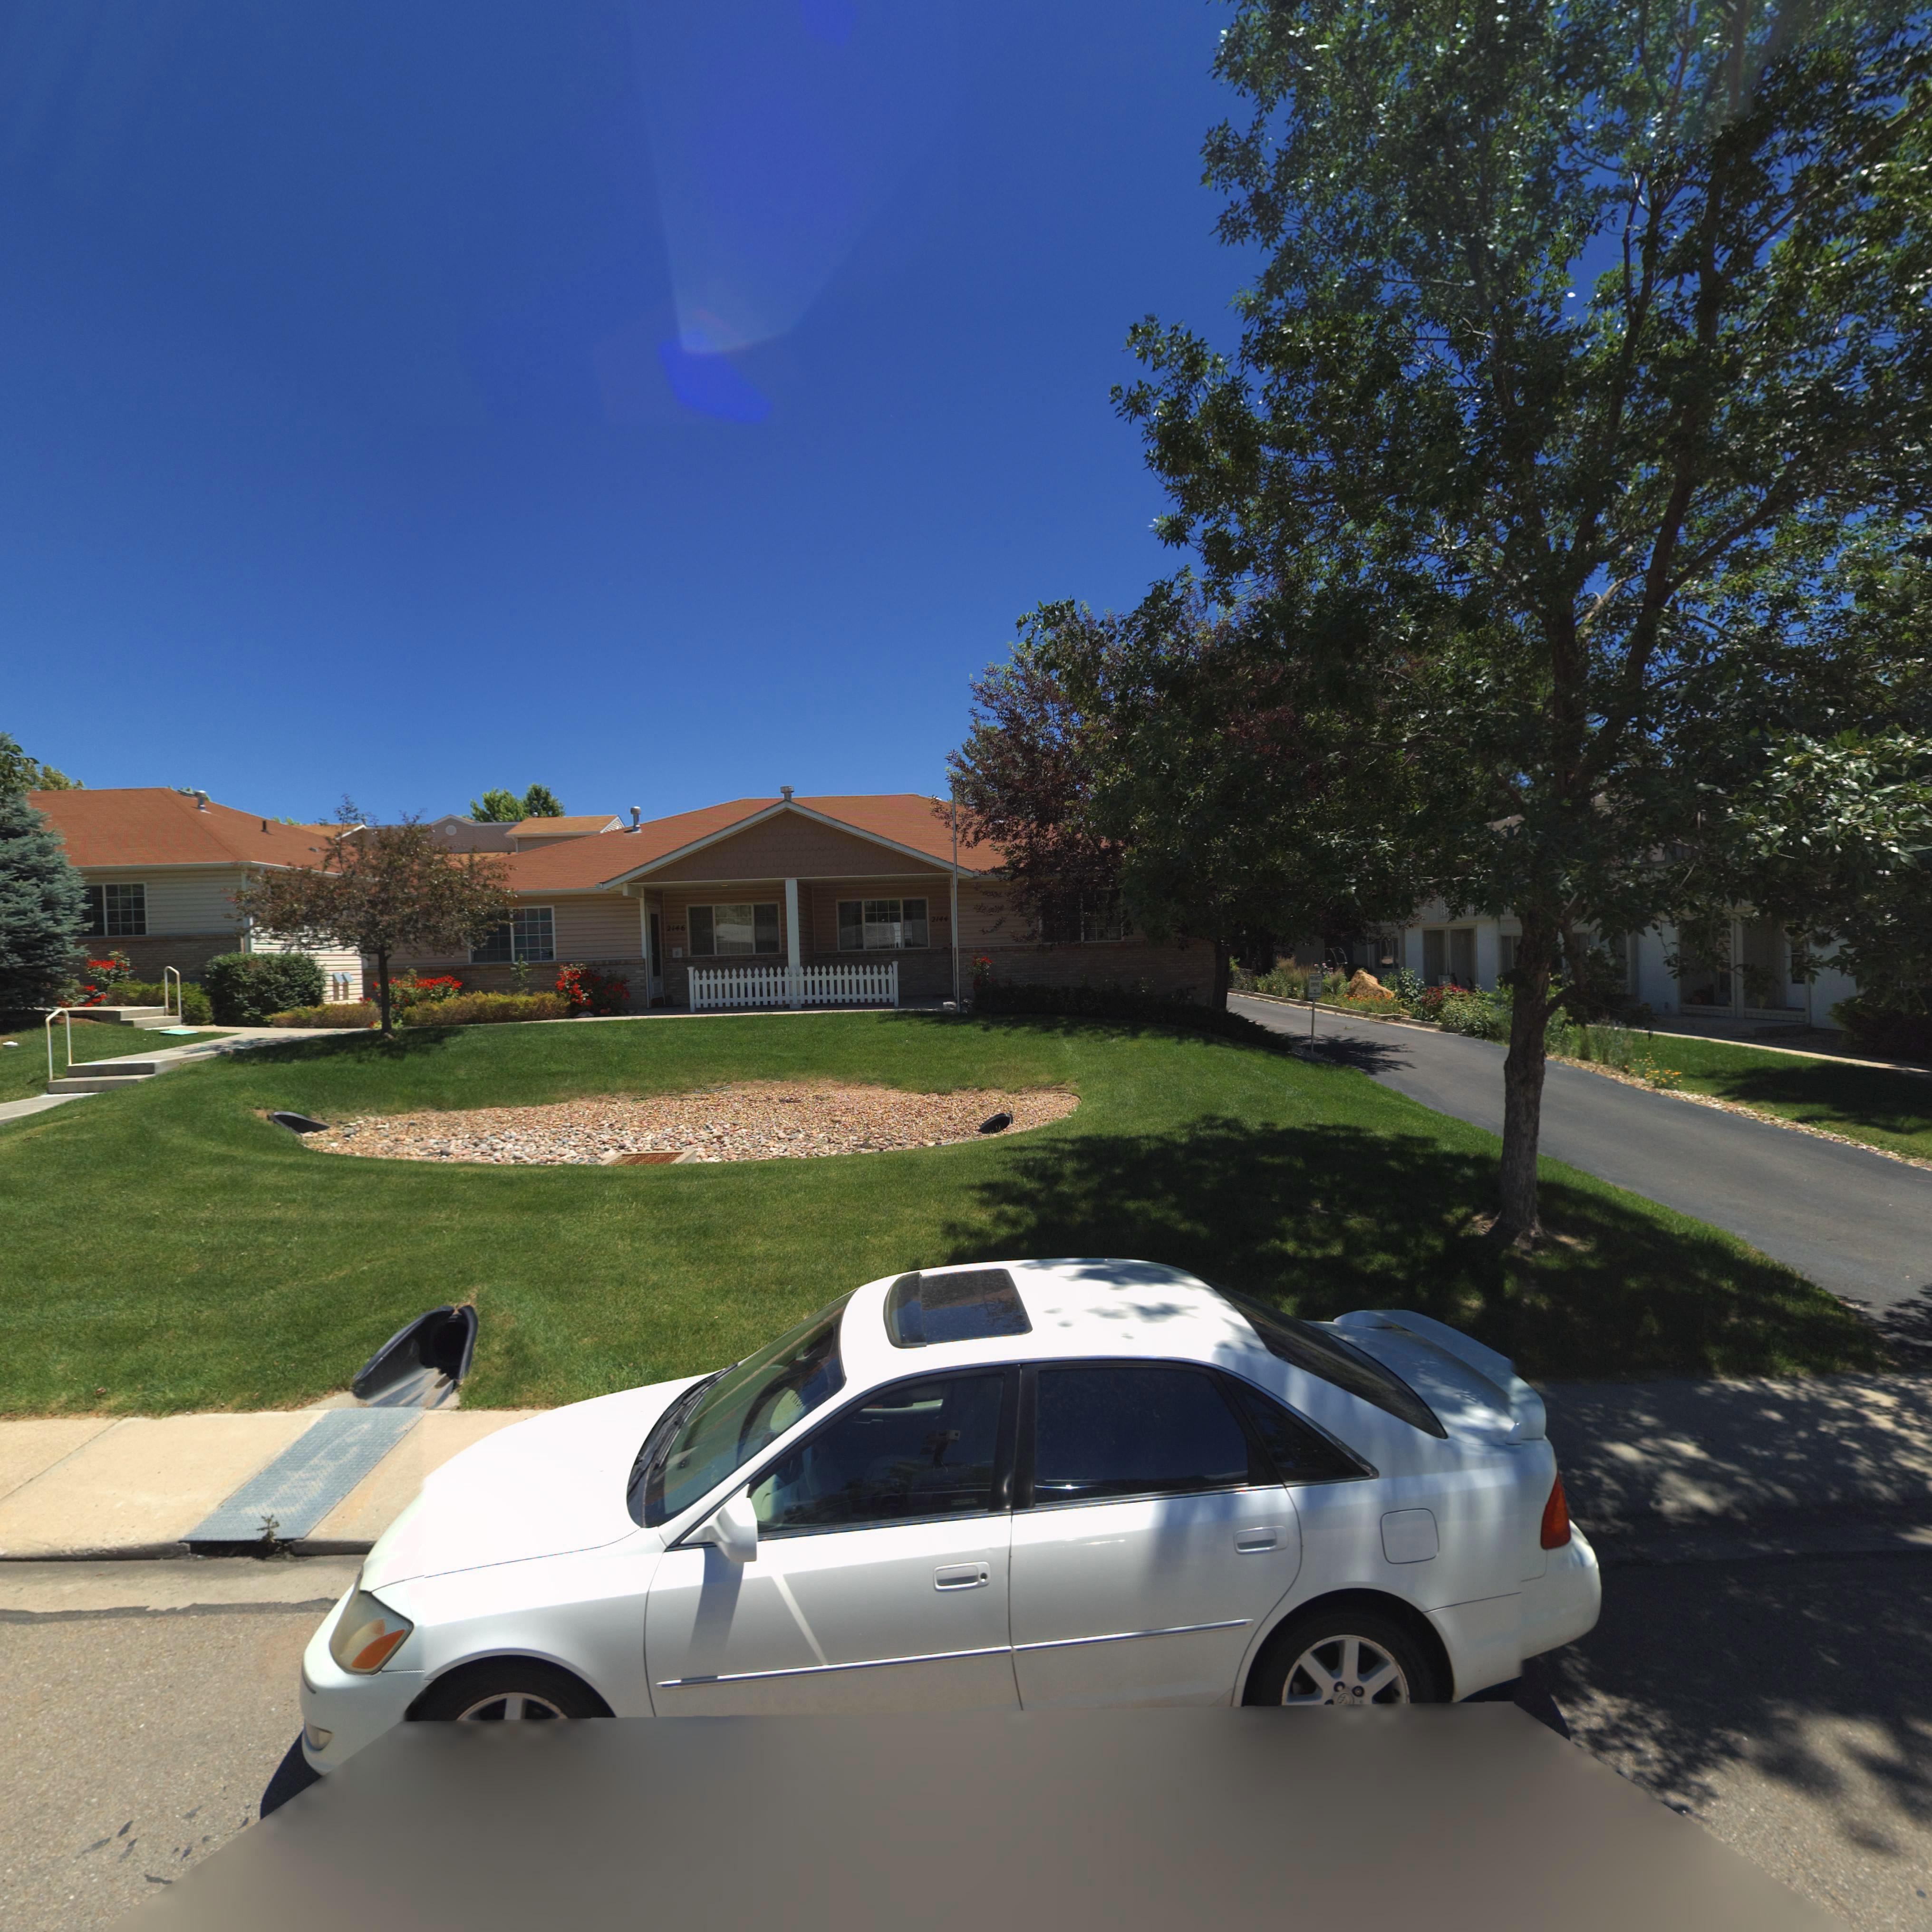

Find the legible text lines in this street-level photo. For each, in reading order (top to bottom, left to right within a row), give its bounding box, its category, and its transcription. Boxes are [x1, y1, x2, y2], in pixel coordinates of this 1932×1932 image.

[665, 923, 686, 933] StreetNumber: 2146